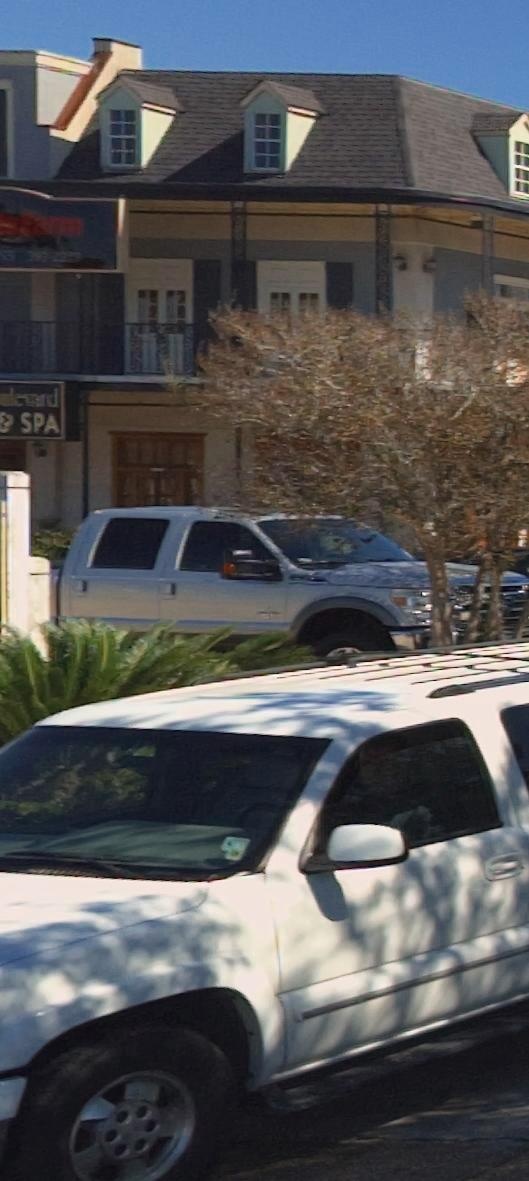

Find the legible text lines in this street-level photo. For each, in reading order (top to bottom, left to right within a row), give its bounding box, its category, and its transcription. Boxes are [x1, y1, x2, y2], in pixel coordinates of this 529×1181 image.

[17, 207, 86, 240] BusinessName: Farm
[43, 384, 60, 408] BusinessName: levard
[17, 408, 61, 436] BusinessName: SPA